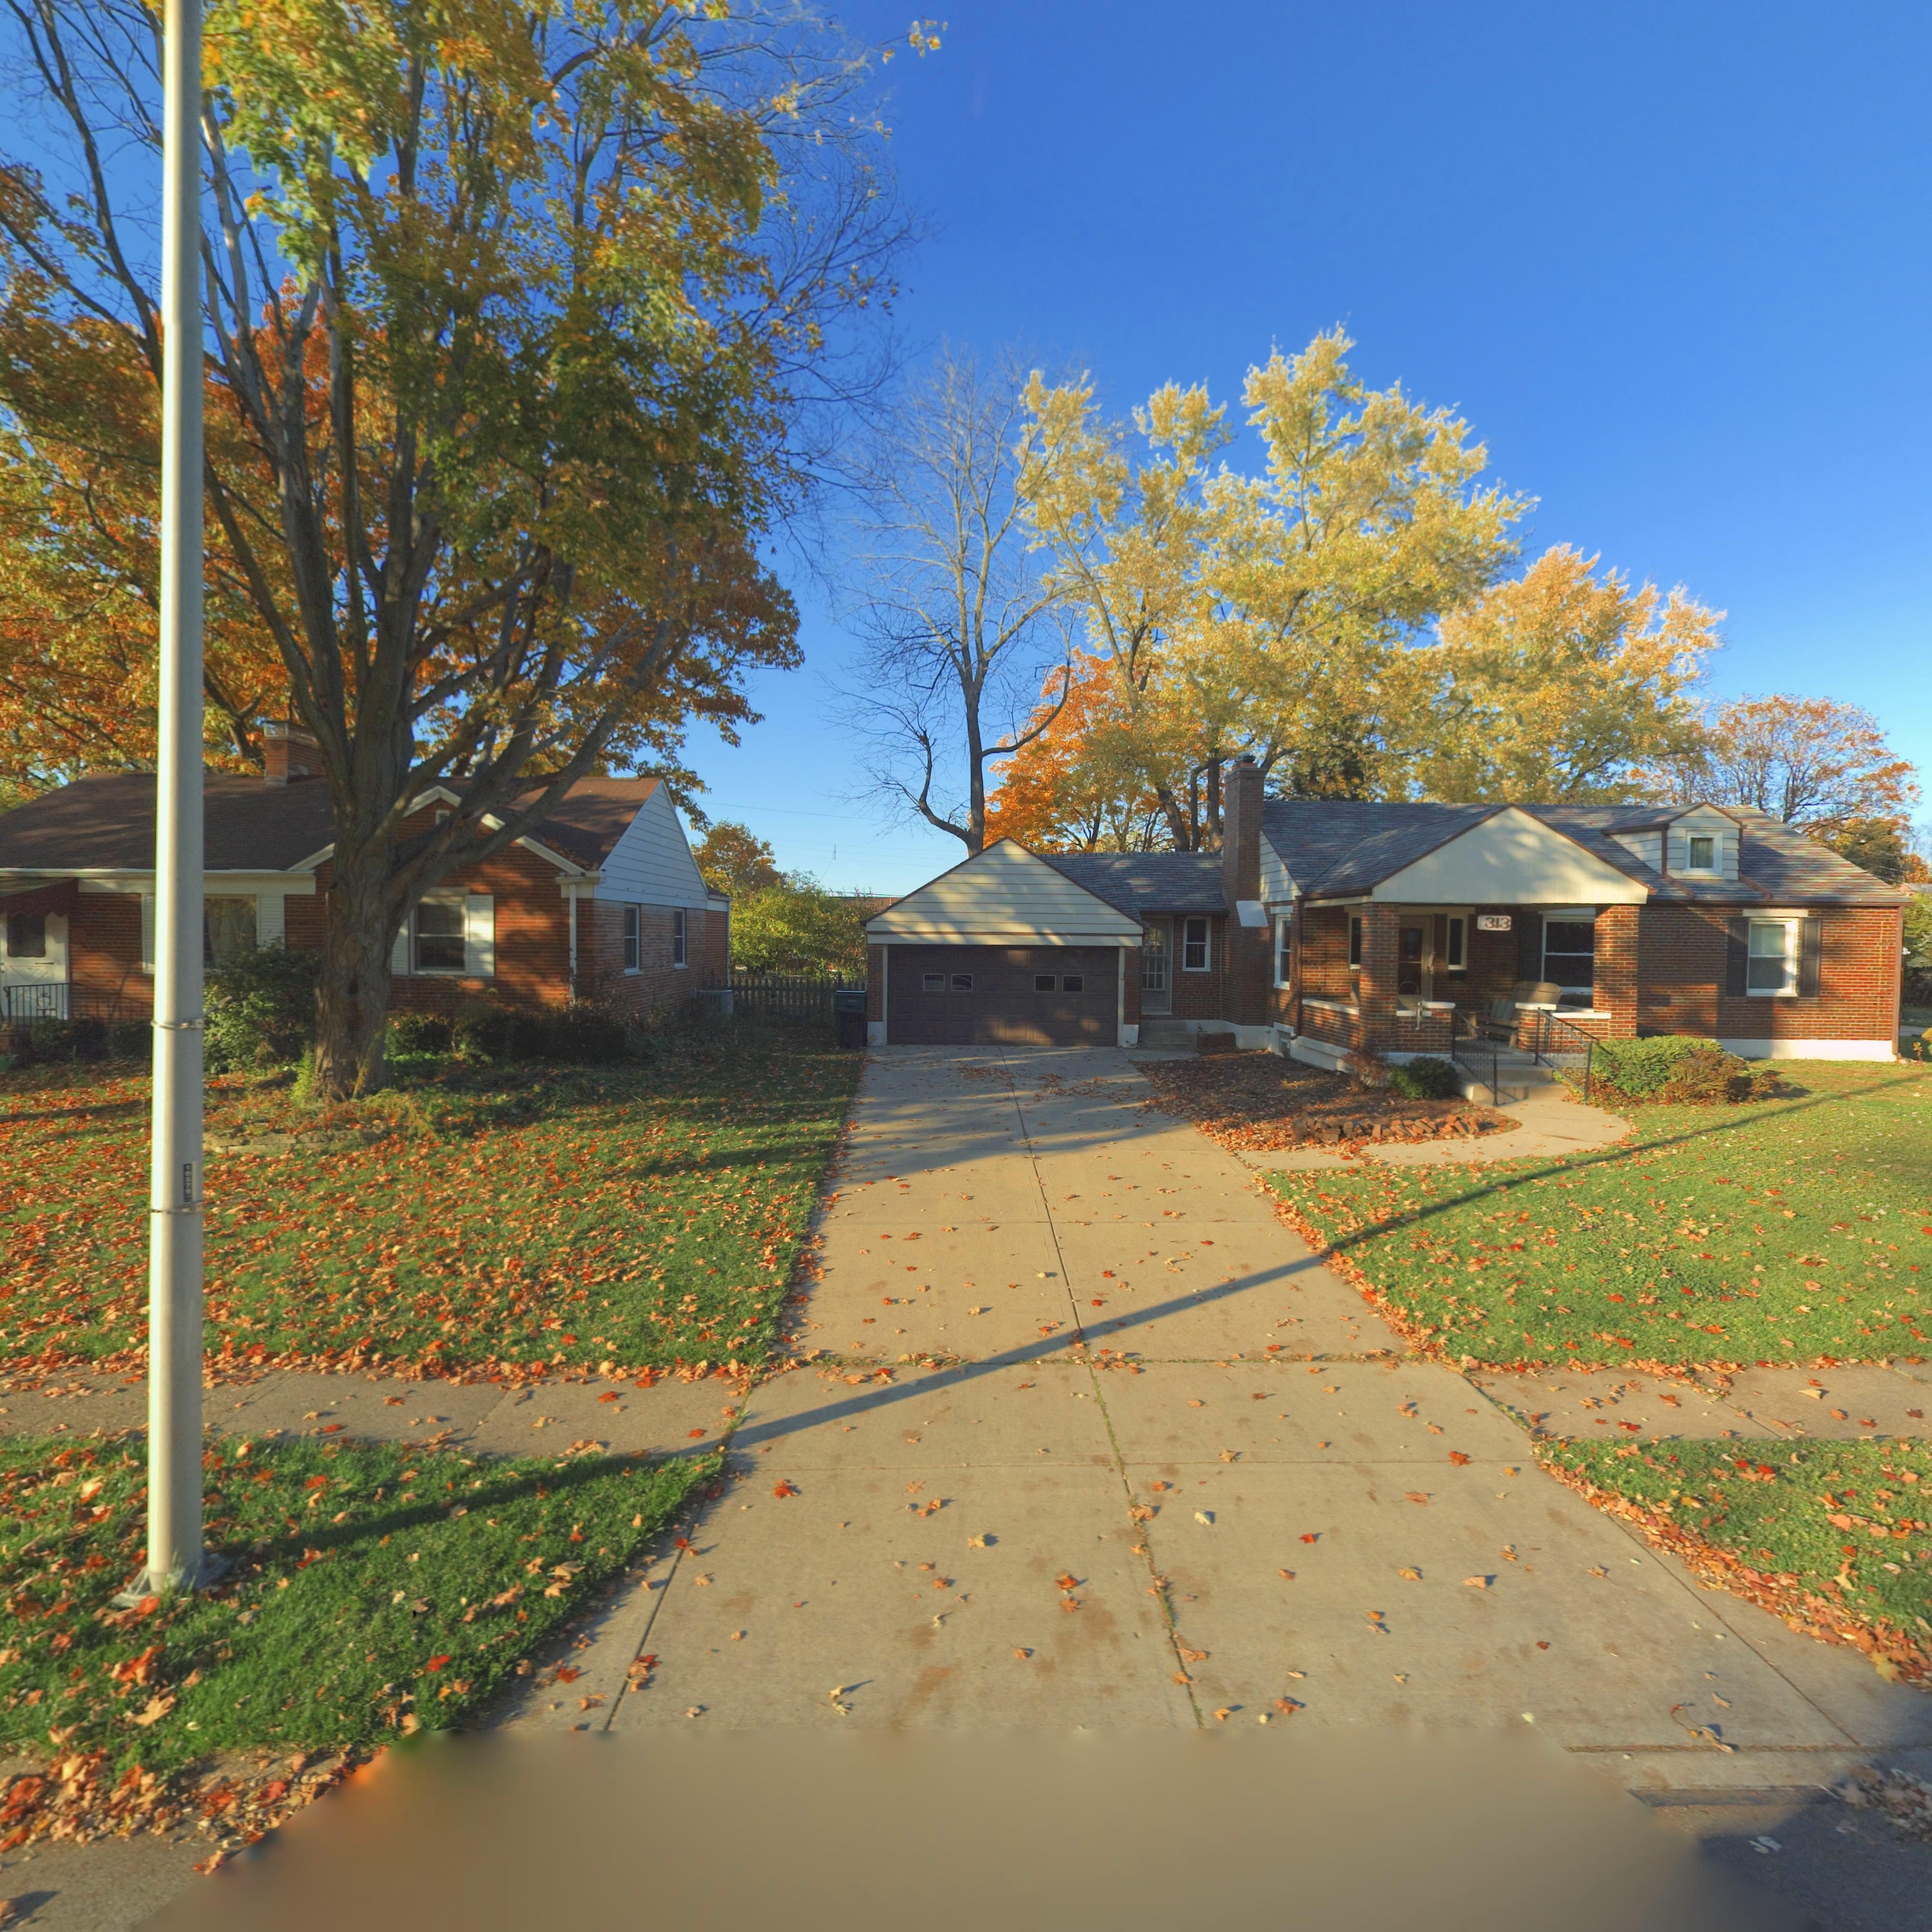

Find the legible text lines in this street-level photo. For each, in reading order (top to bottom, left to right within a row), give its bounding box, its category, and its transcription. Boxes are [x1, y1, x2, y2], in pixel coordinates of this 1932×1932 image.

[1484, 916, 1511, 929] StreetNumber: 313